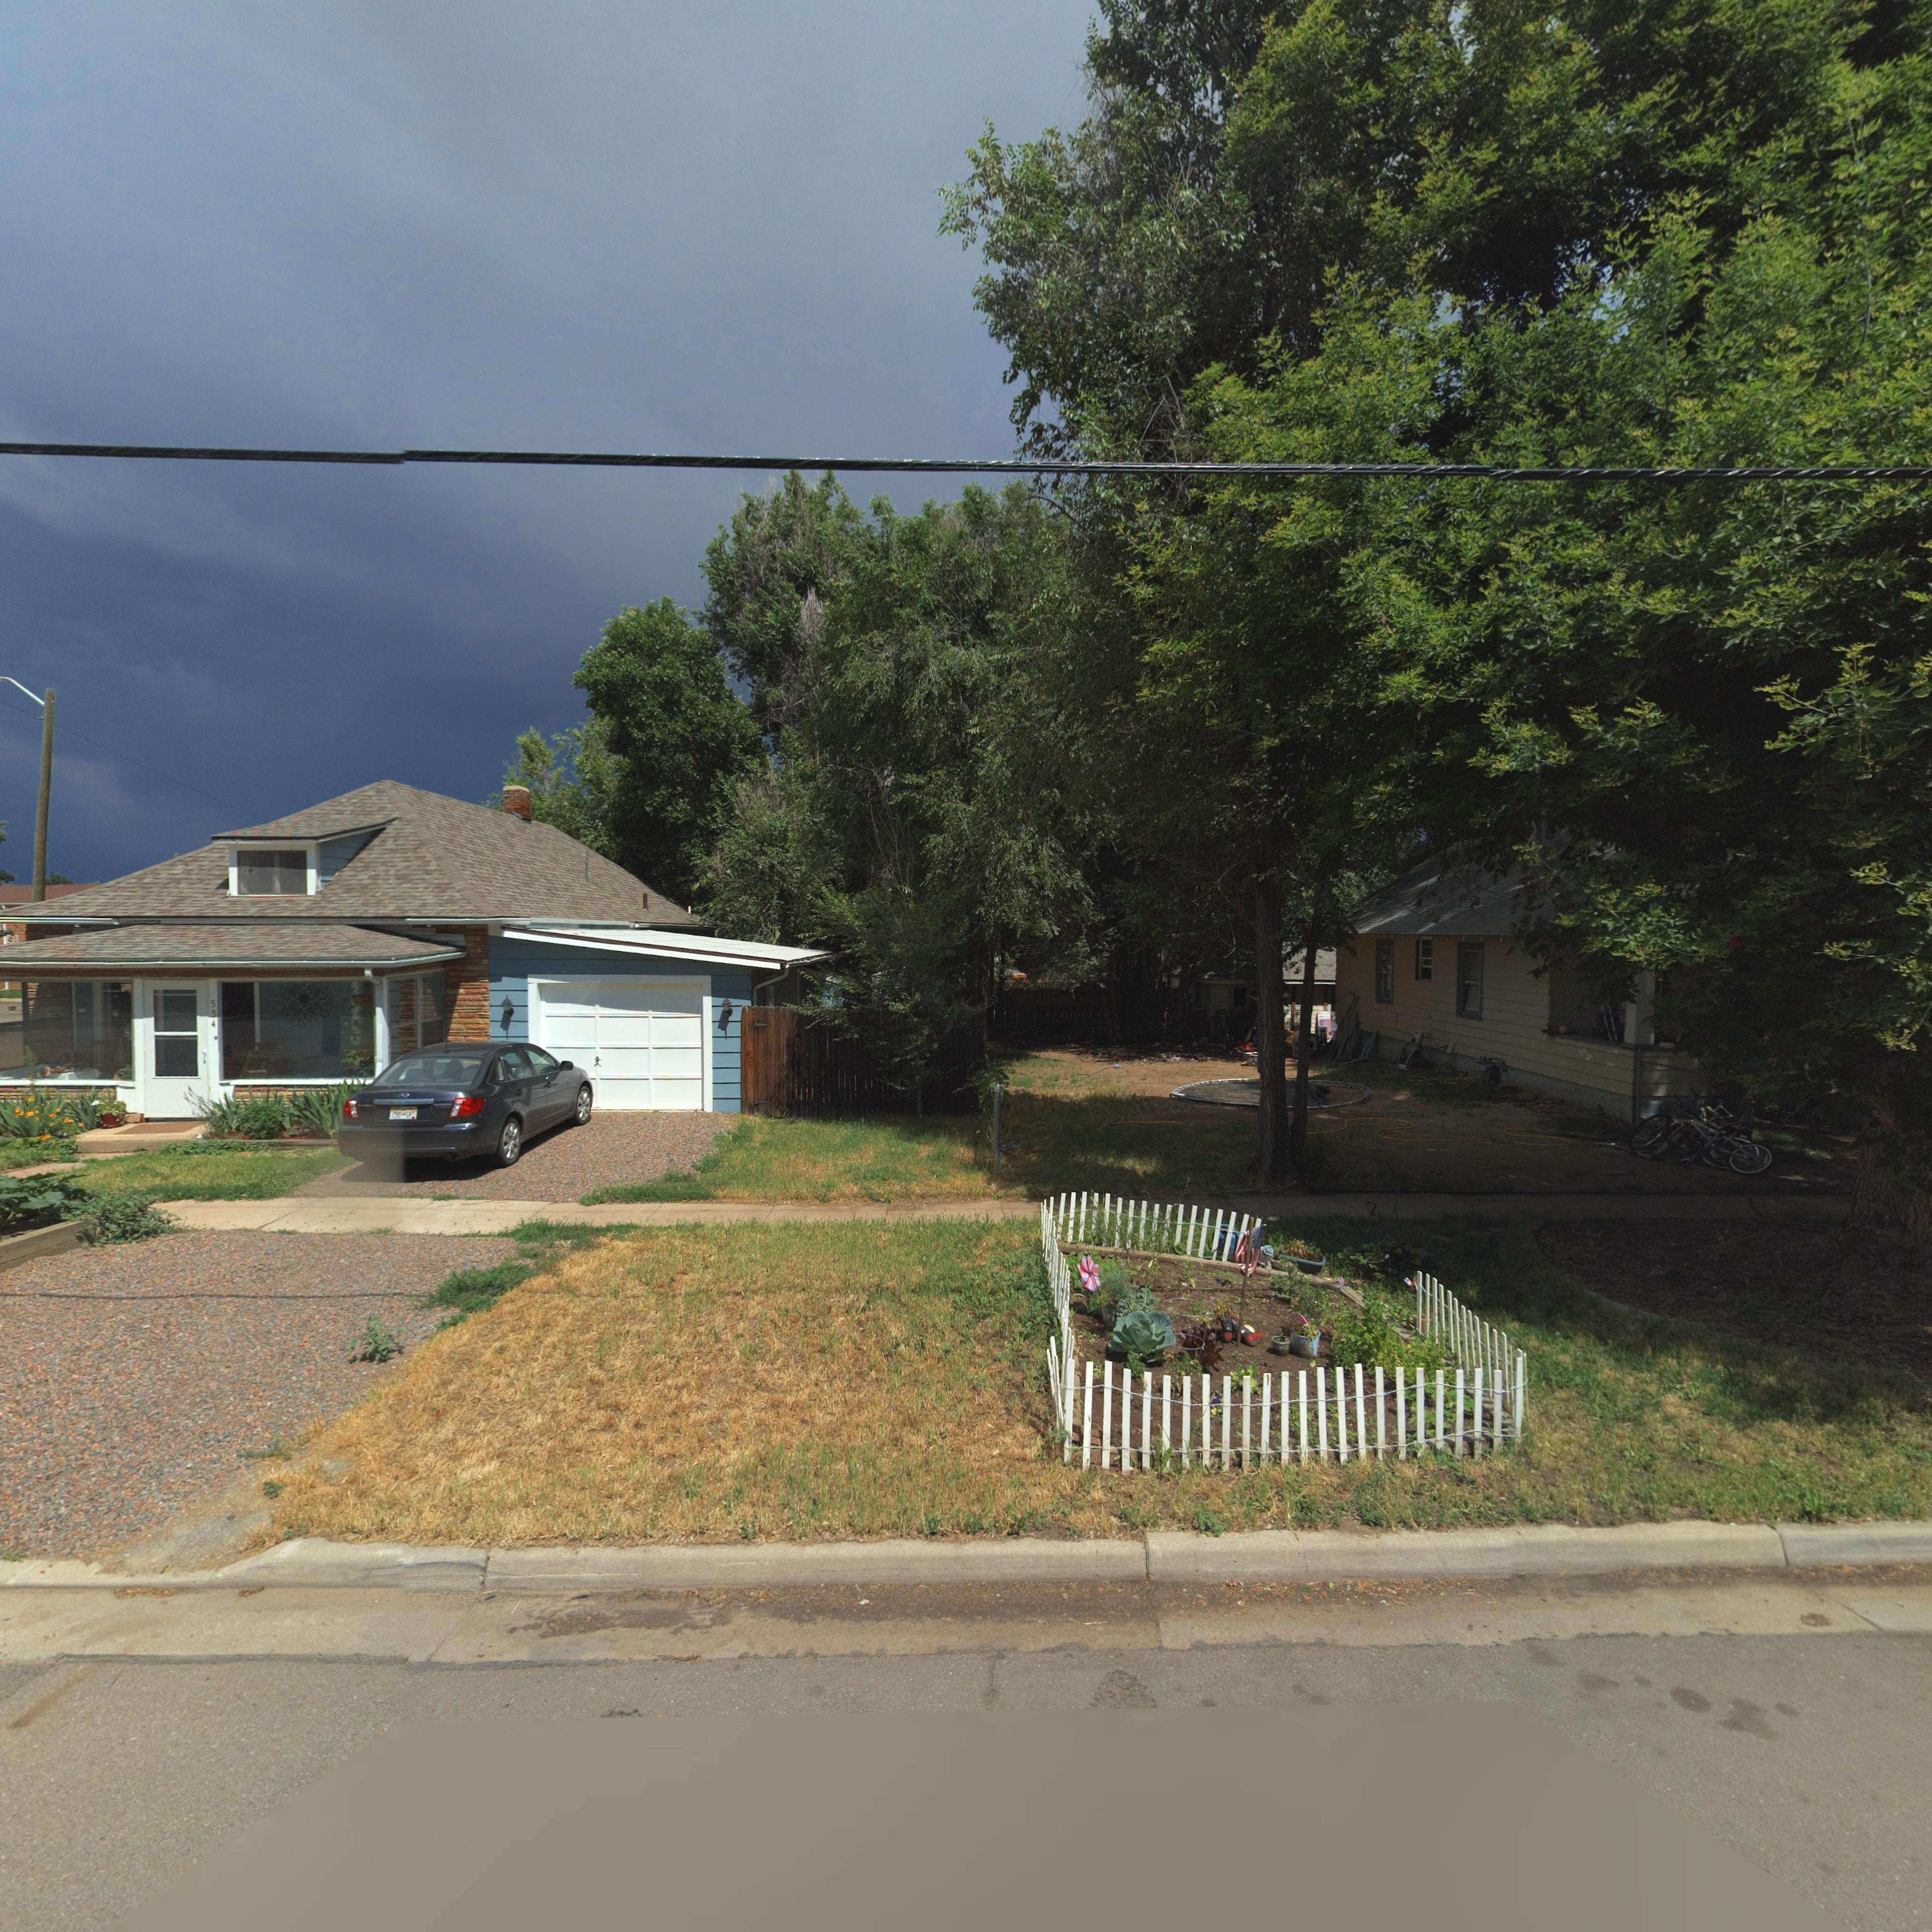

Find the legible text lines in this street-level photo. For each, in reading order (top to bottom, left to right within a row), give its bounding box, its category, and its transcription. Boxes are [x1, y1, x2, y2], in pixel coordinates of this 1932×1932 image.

[210, 999, 216, 1028] StreetNumber: 534